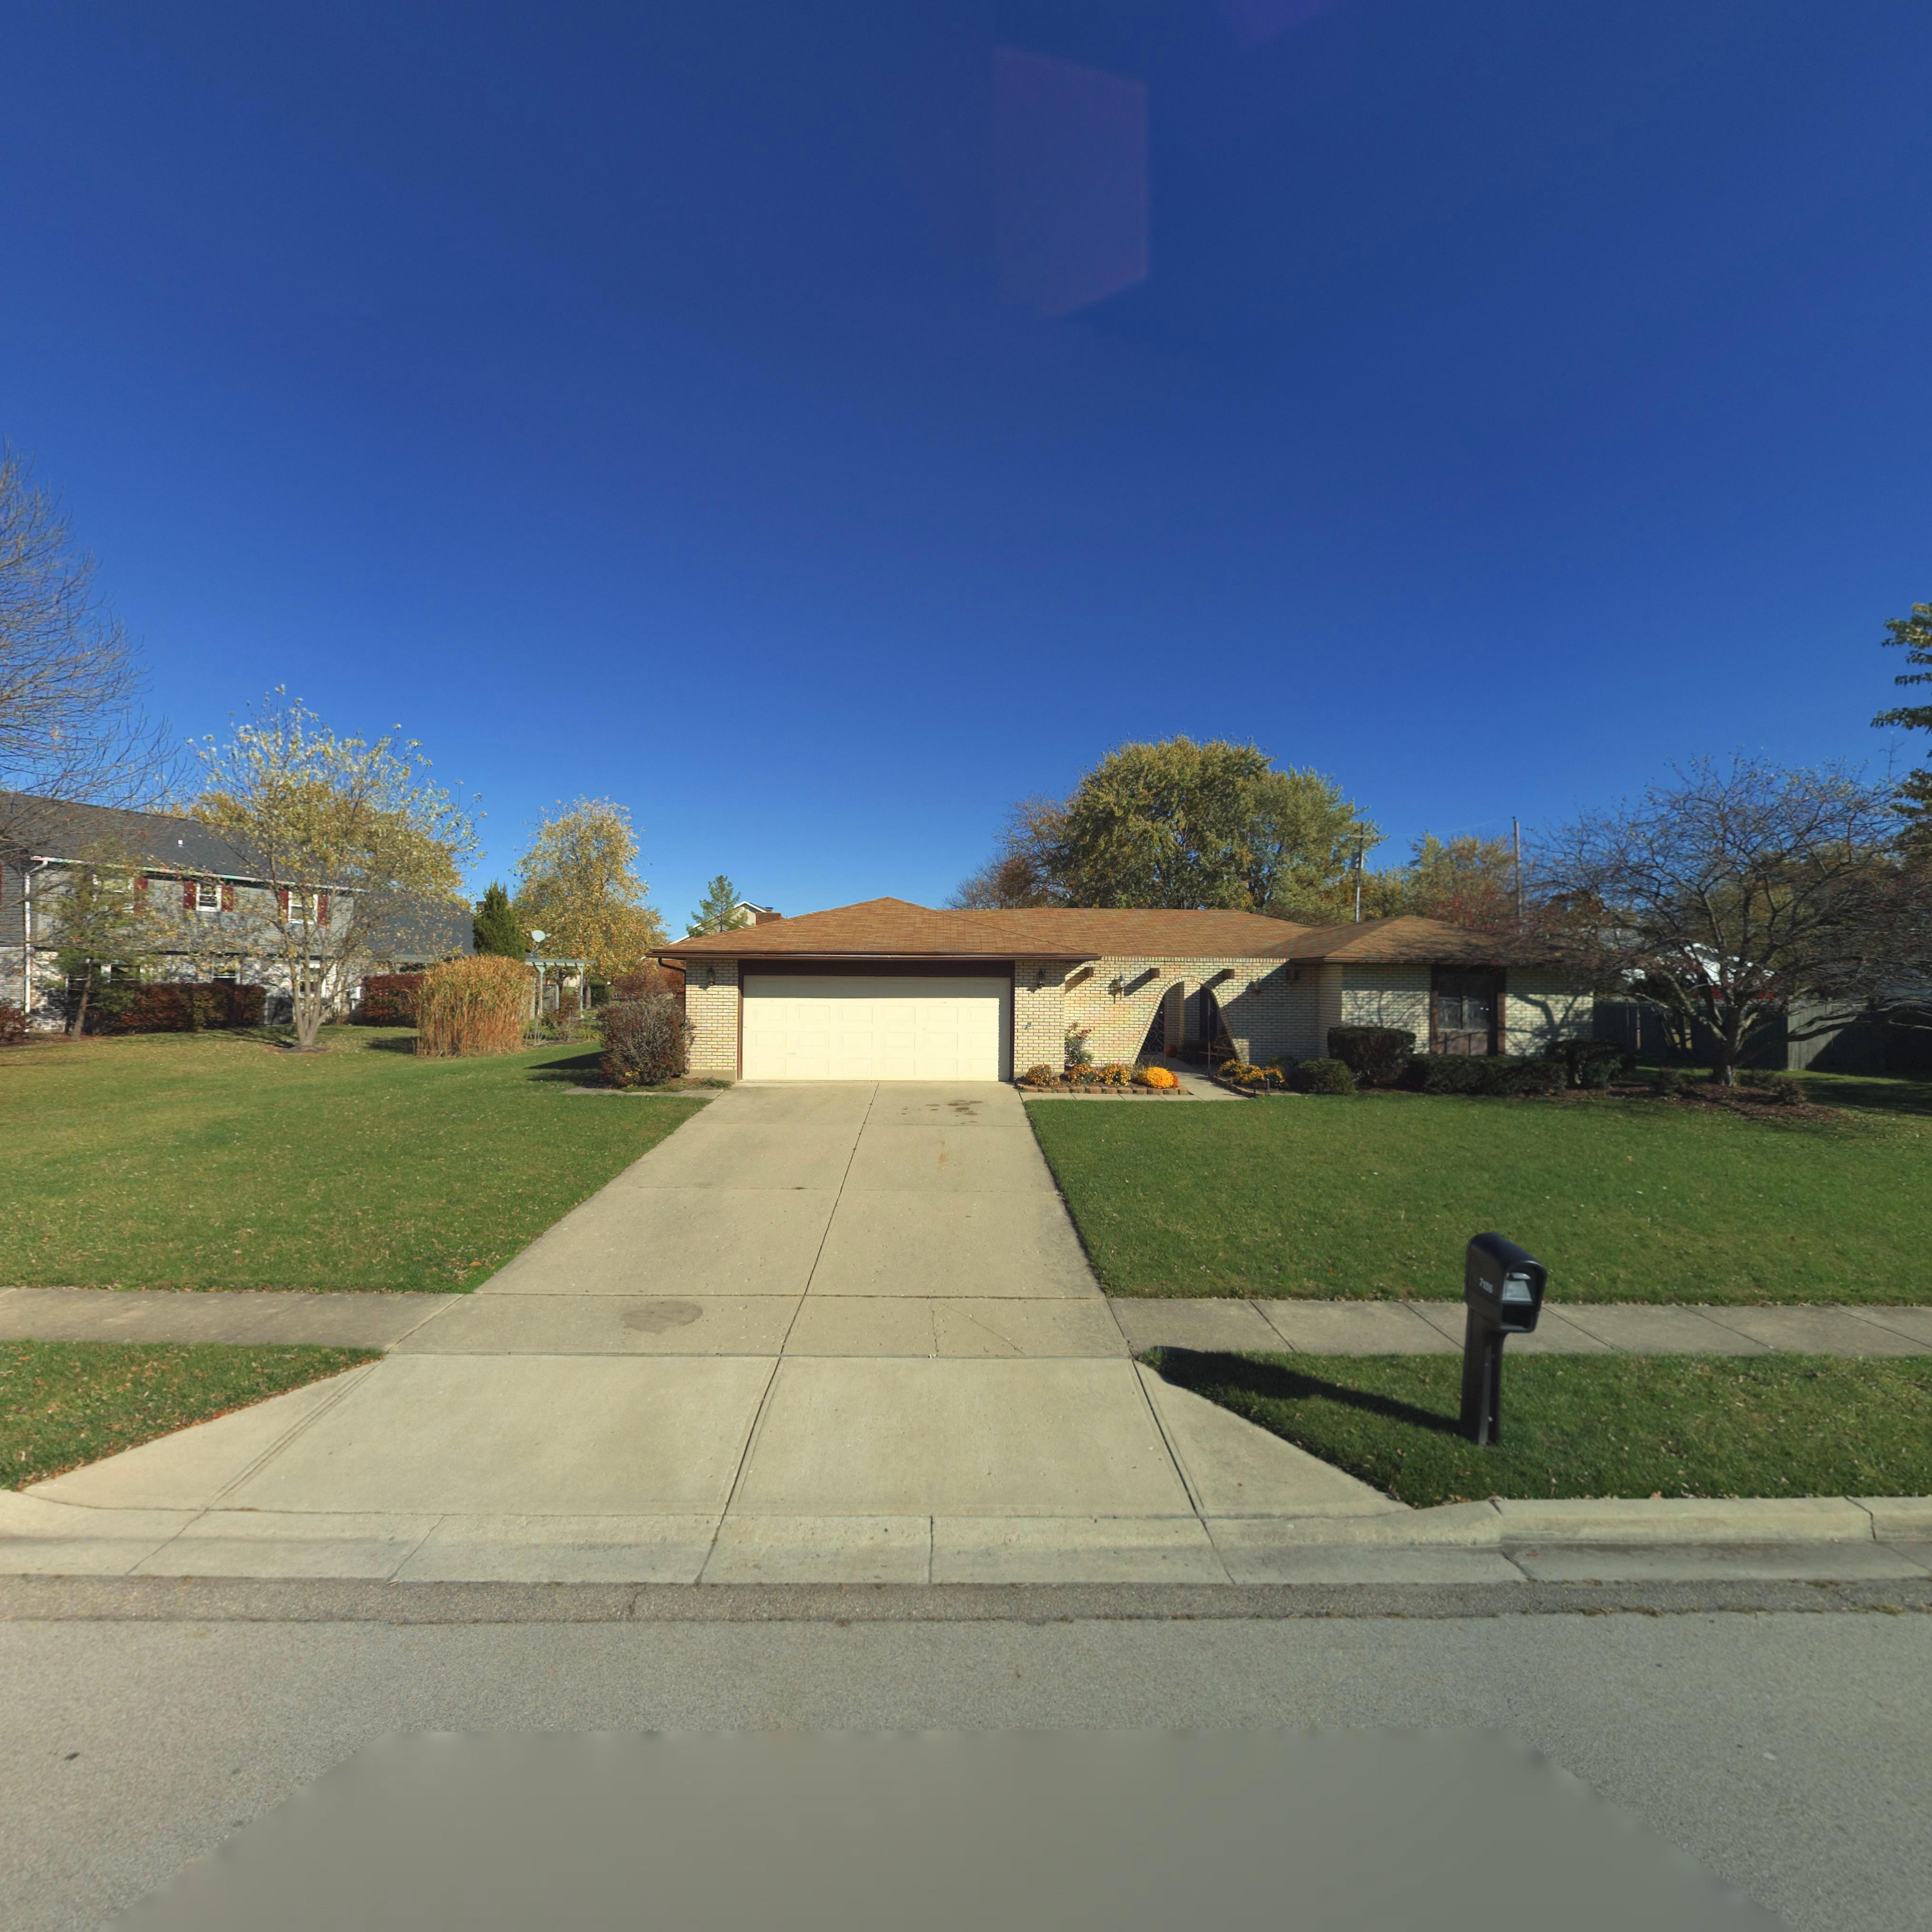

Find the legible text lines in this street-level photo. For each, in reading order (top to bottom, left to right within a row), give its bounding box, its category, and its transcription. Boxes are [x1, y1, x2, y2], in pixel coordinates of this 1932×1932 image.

[1252, 1081, 1266, 1088] StreetNumber: *1**
[1478, 1275, 1494, 1295] StreetNumber: 7106